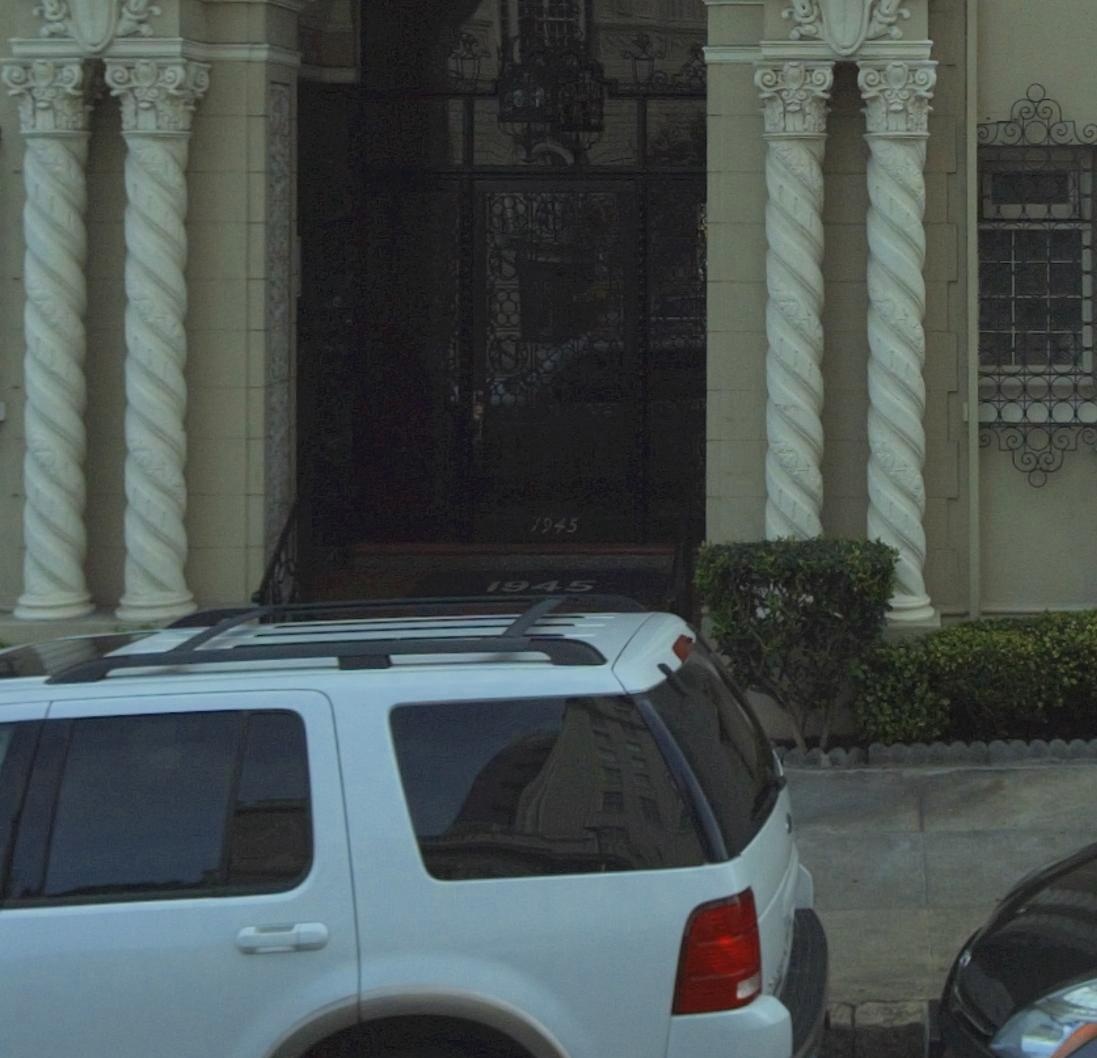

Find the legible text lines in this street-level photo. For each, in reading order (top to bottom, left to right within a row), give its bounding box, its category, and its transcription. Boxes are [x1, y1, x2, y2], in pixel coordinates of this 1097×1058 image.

[525, 514, 583, 537] StreetNumber: 1945
[481, 577, 601, 595] StreetNumber: 1945